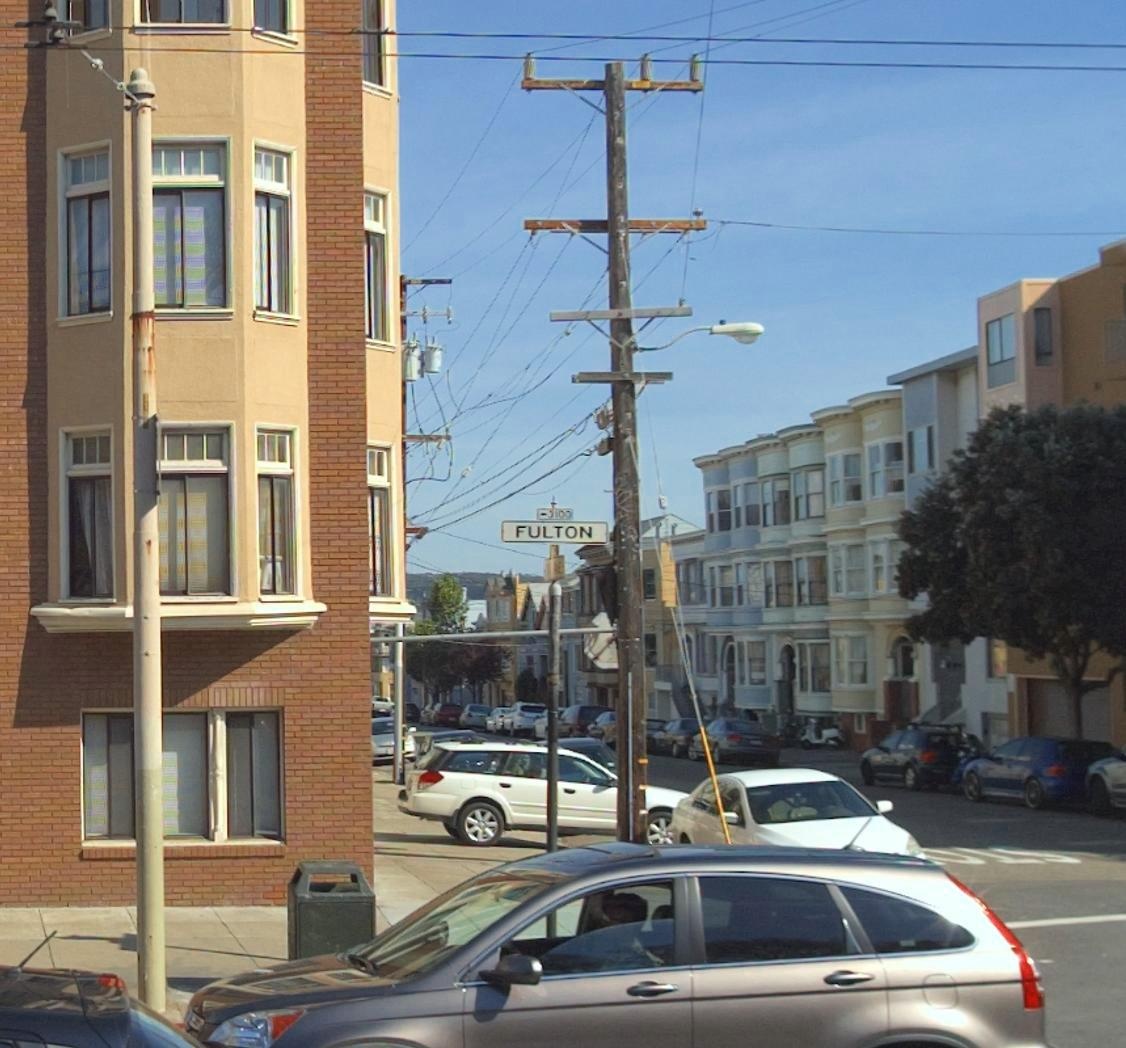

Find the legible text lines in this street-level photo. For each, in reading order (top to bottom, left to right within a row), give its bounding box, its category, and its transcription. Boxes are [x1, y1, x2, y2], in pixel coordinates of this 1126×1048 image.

[537, 507, 572, 518] StreetNumberRange: <-3100
[515, 524, 594, 540] StreetName: FULTON < [3100]